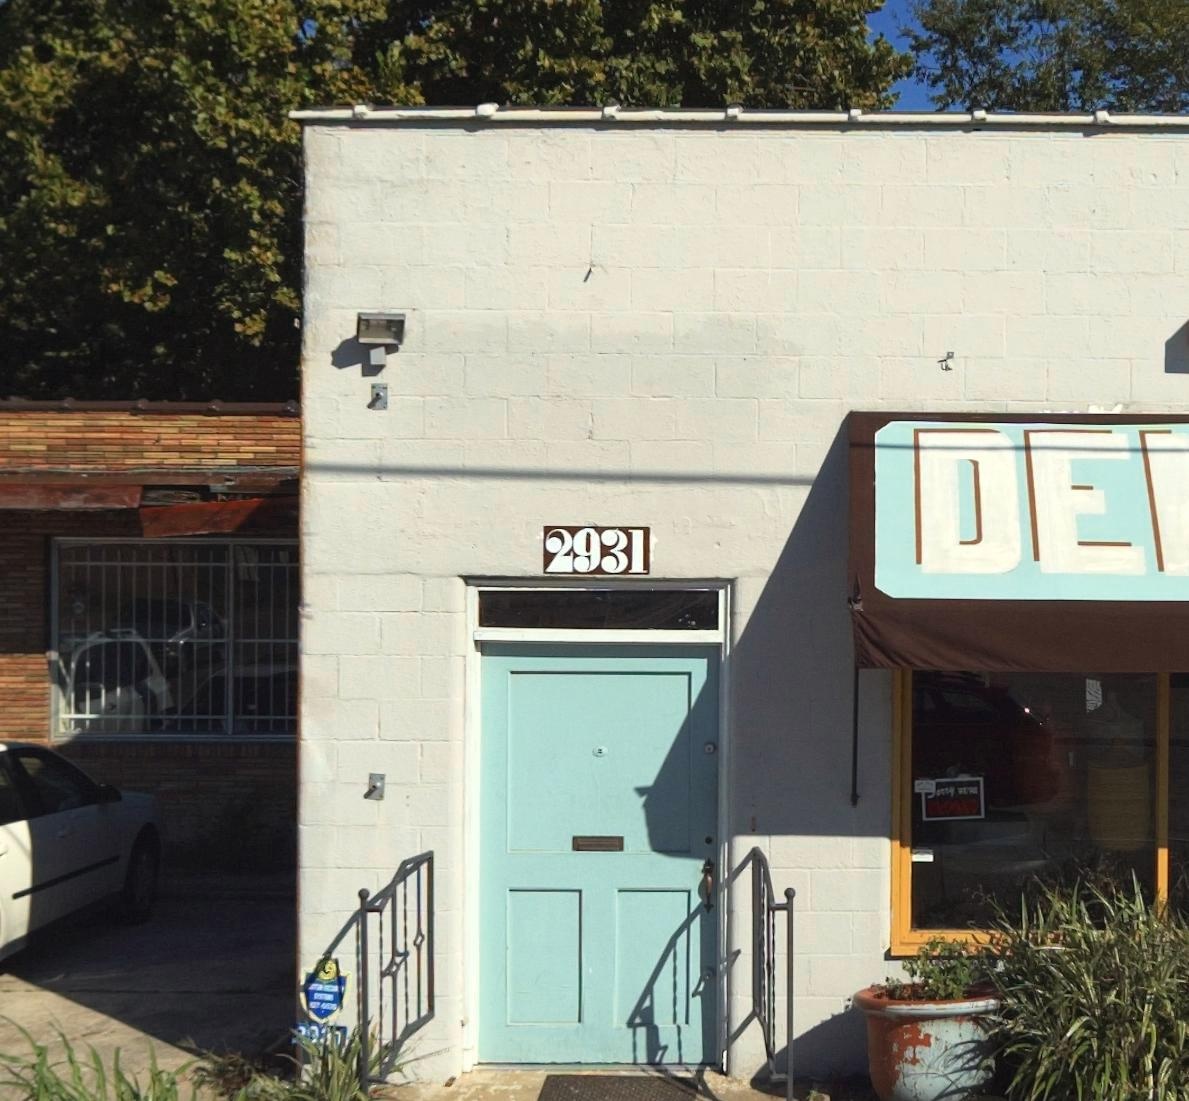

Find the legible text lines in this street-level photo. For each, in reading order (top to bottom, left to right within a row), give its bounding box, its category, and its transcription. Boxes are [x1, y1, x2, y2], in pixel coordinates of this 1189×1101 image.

[543, 527, 649, 576] StreetNumber: 2931
[915, 429, 1149, 577] BusinessName: DE